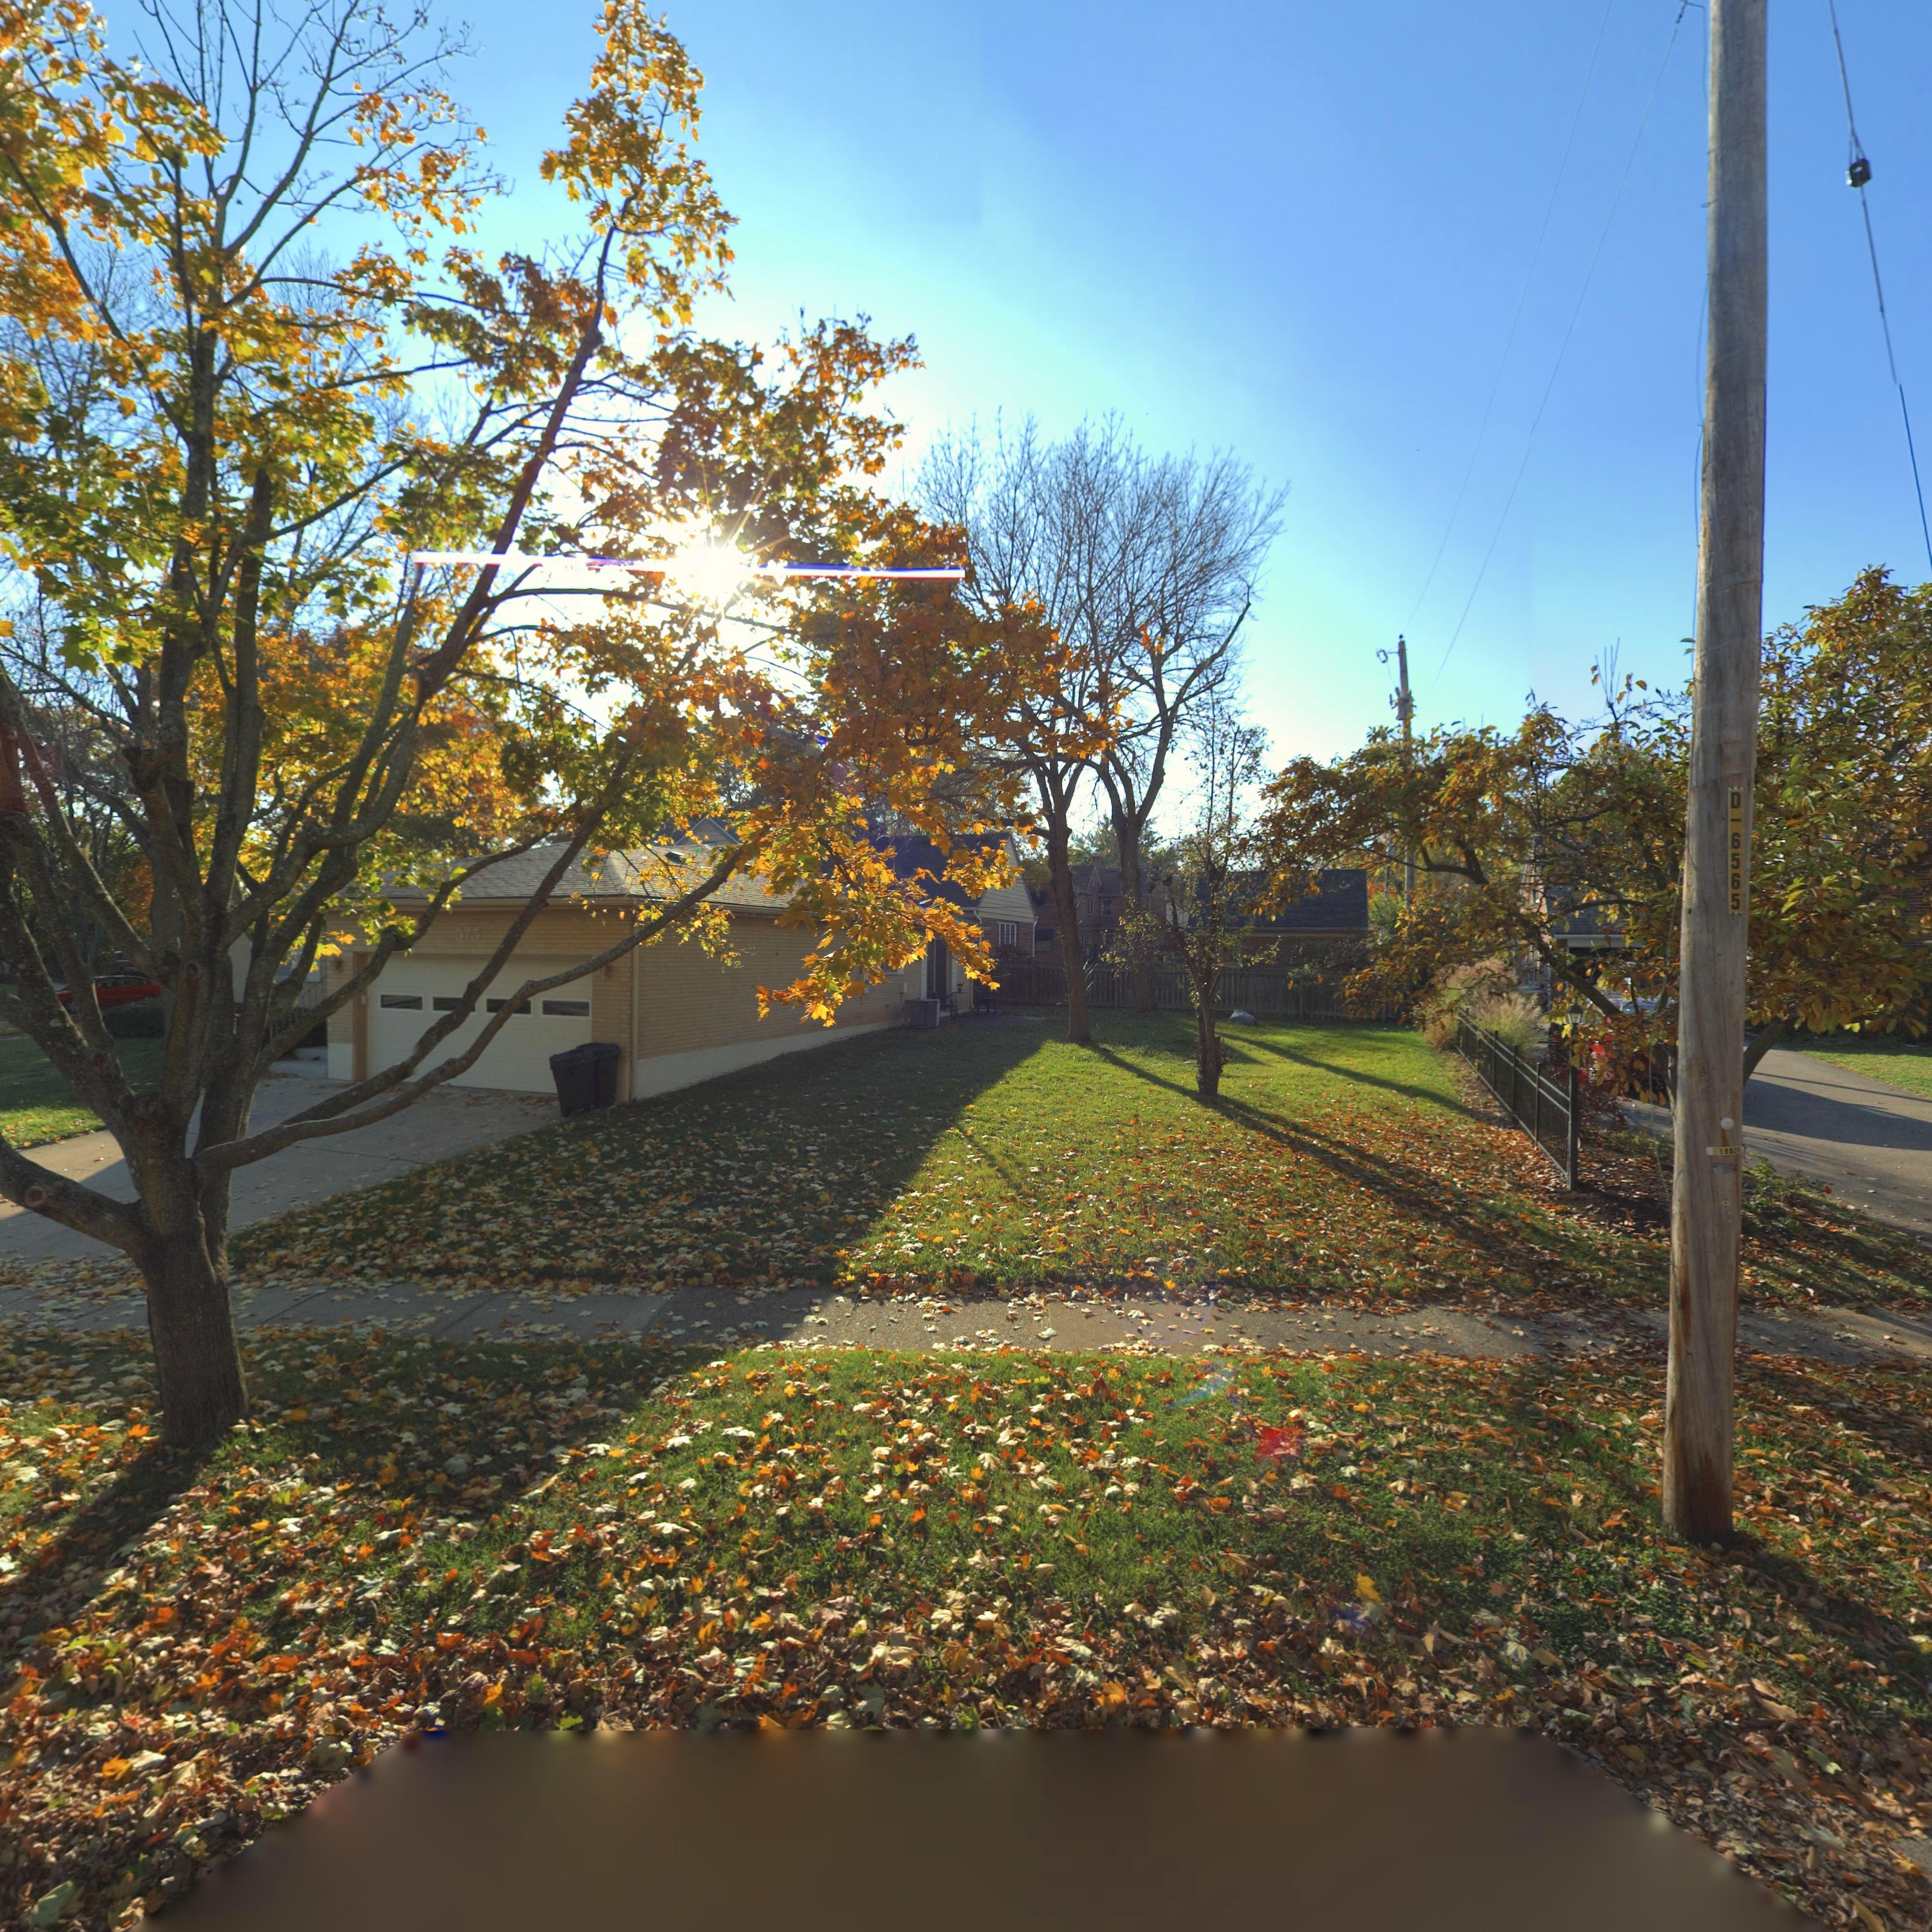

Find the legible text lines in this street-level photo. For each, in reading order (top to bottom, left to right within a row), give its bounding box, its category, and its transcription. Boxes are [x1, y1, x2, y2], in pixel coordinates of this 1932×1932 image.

[455, 927, 481, 941] StreetNumber: 575